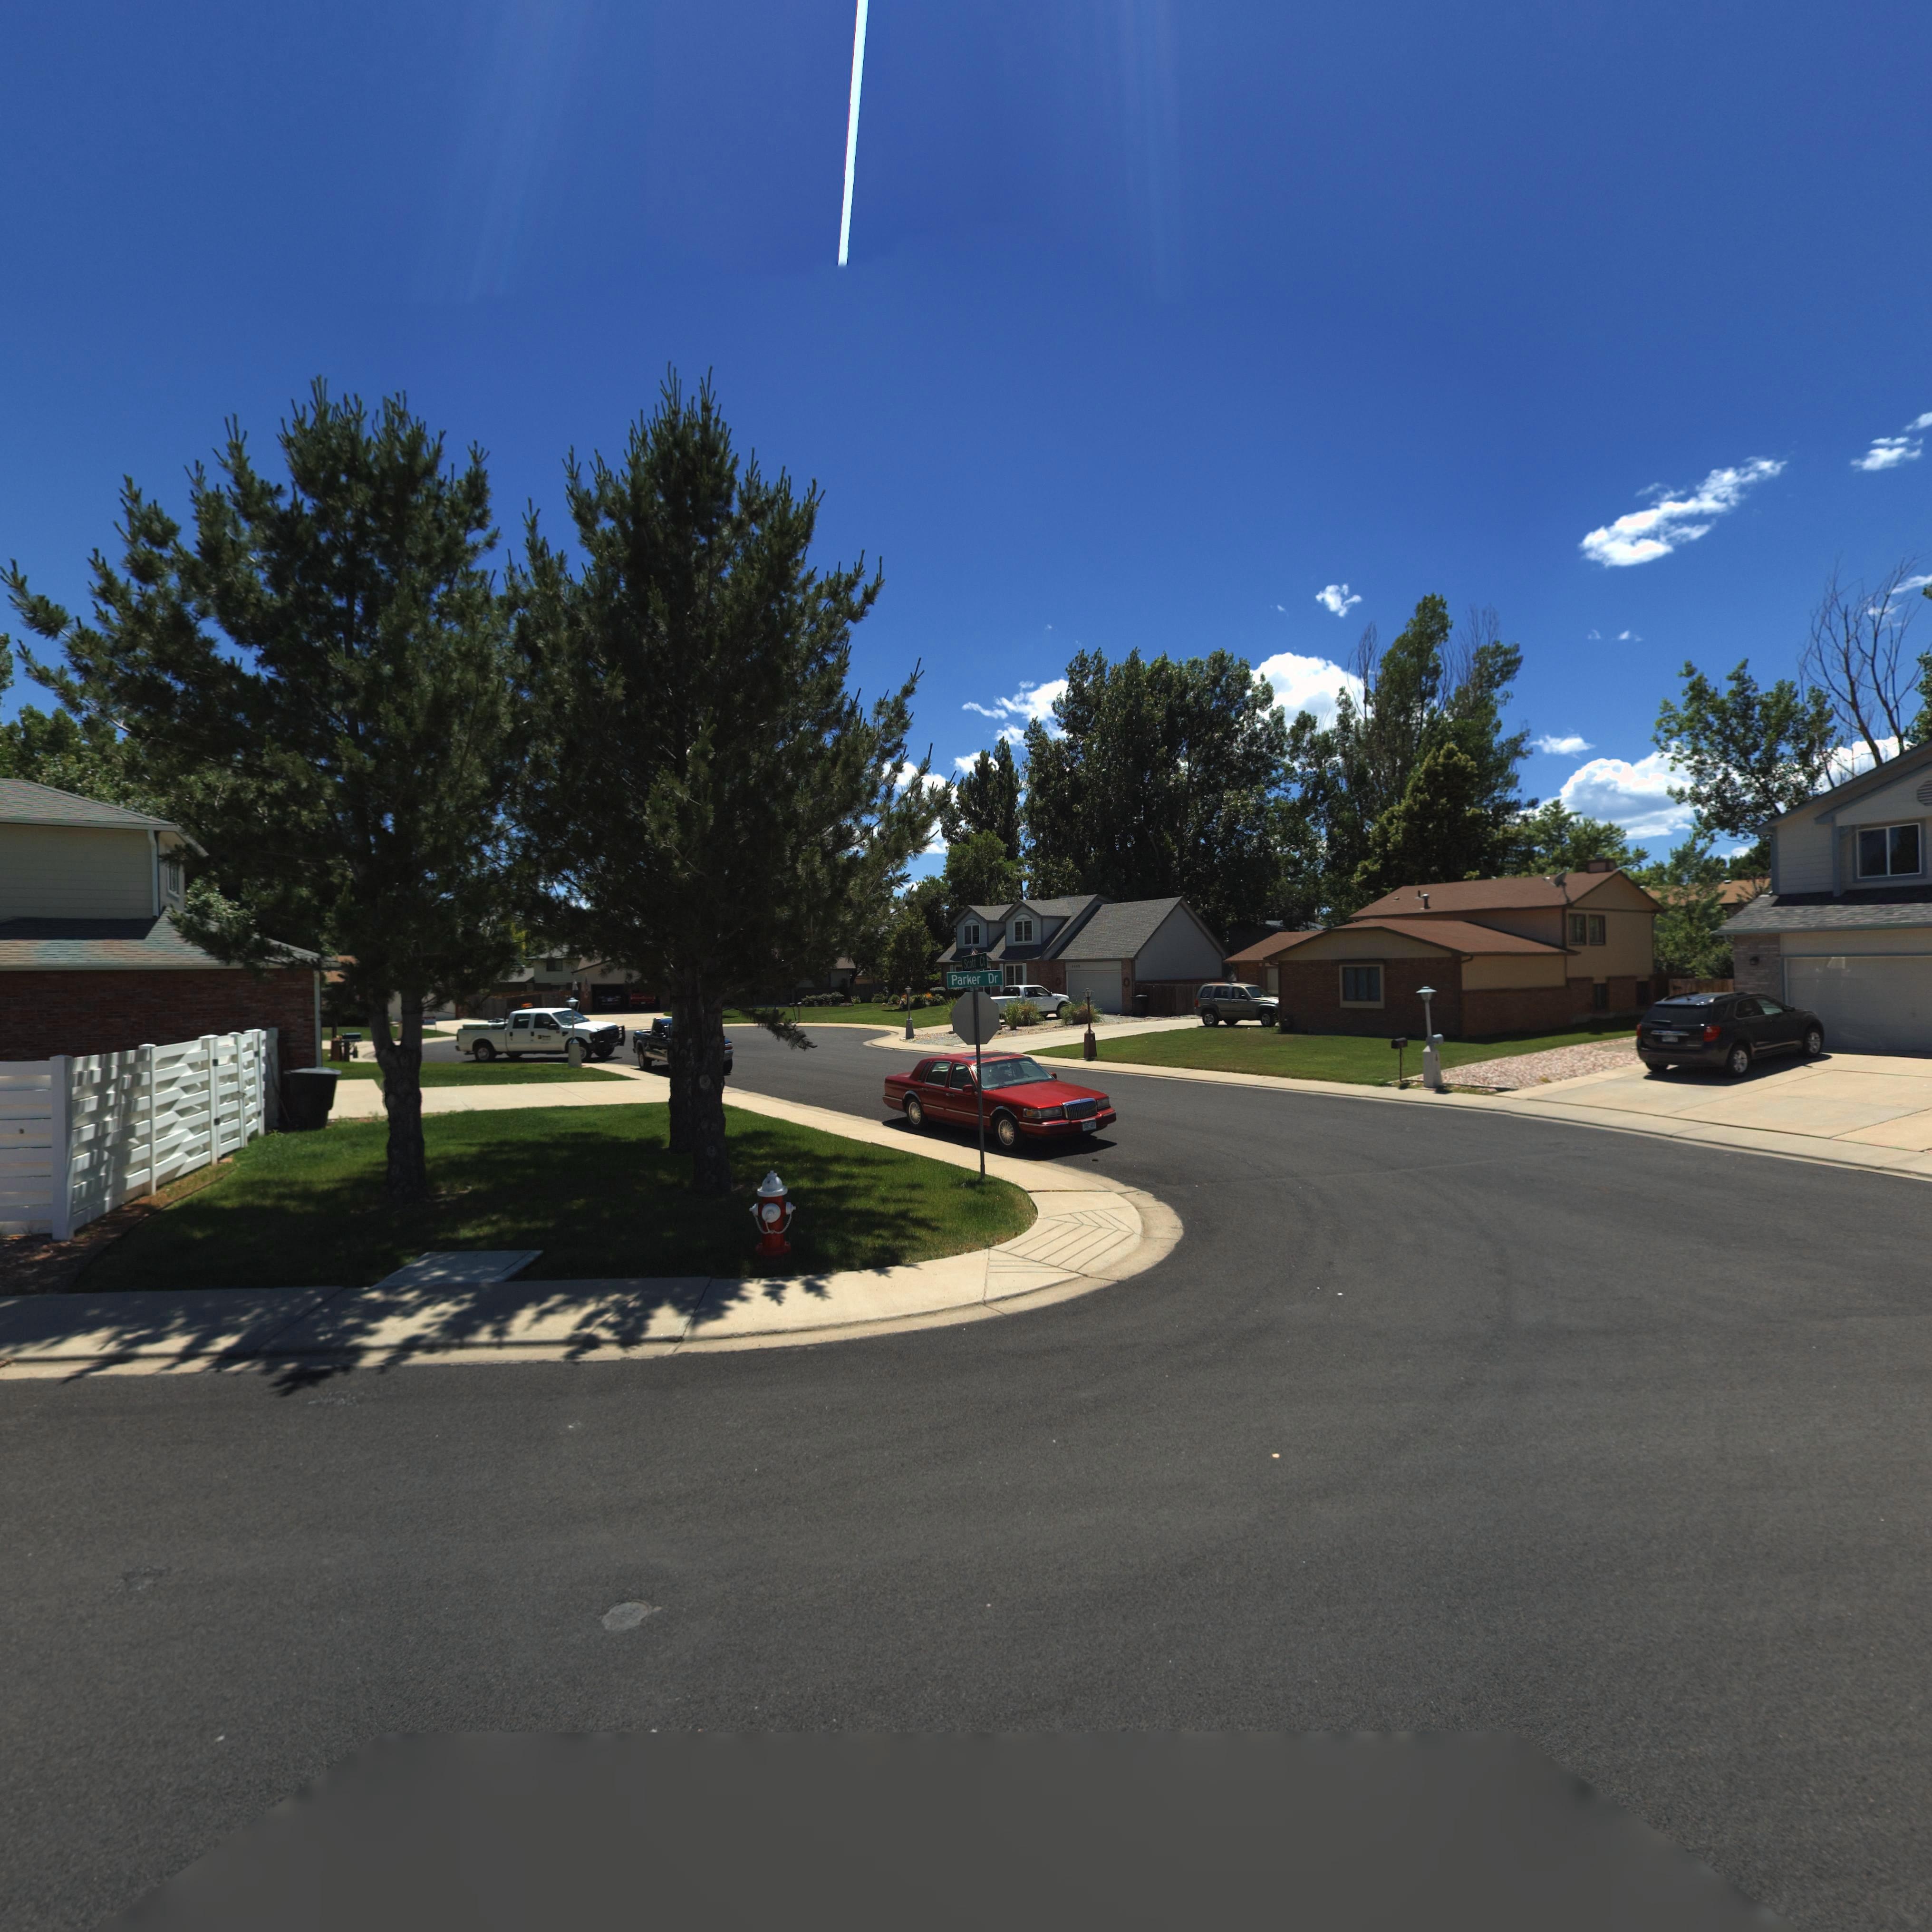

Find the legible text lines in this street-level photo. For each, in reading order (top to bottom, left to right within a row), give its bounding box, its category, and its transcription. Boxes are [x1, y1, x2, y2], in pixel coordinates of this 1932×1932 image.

[963, 956, 985, 969] StreetName: Scott Ct
[951, 973, 998, 985] StreetName: Parker Dr